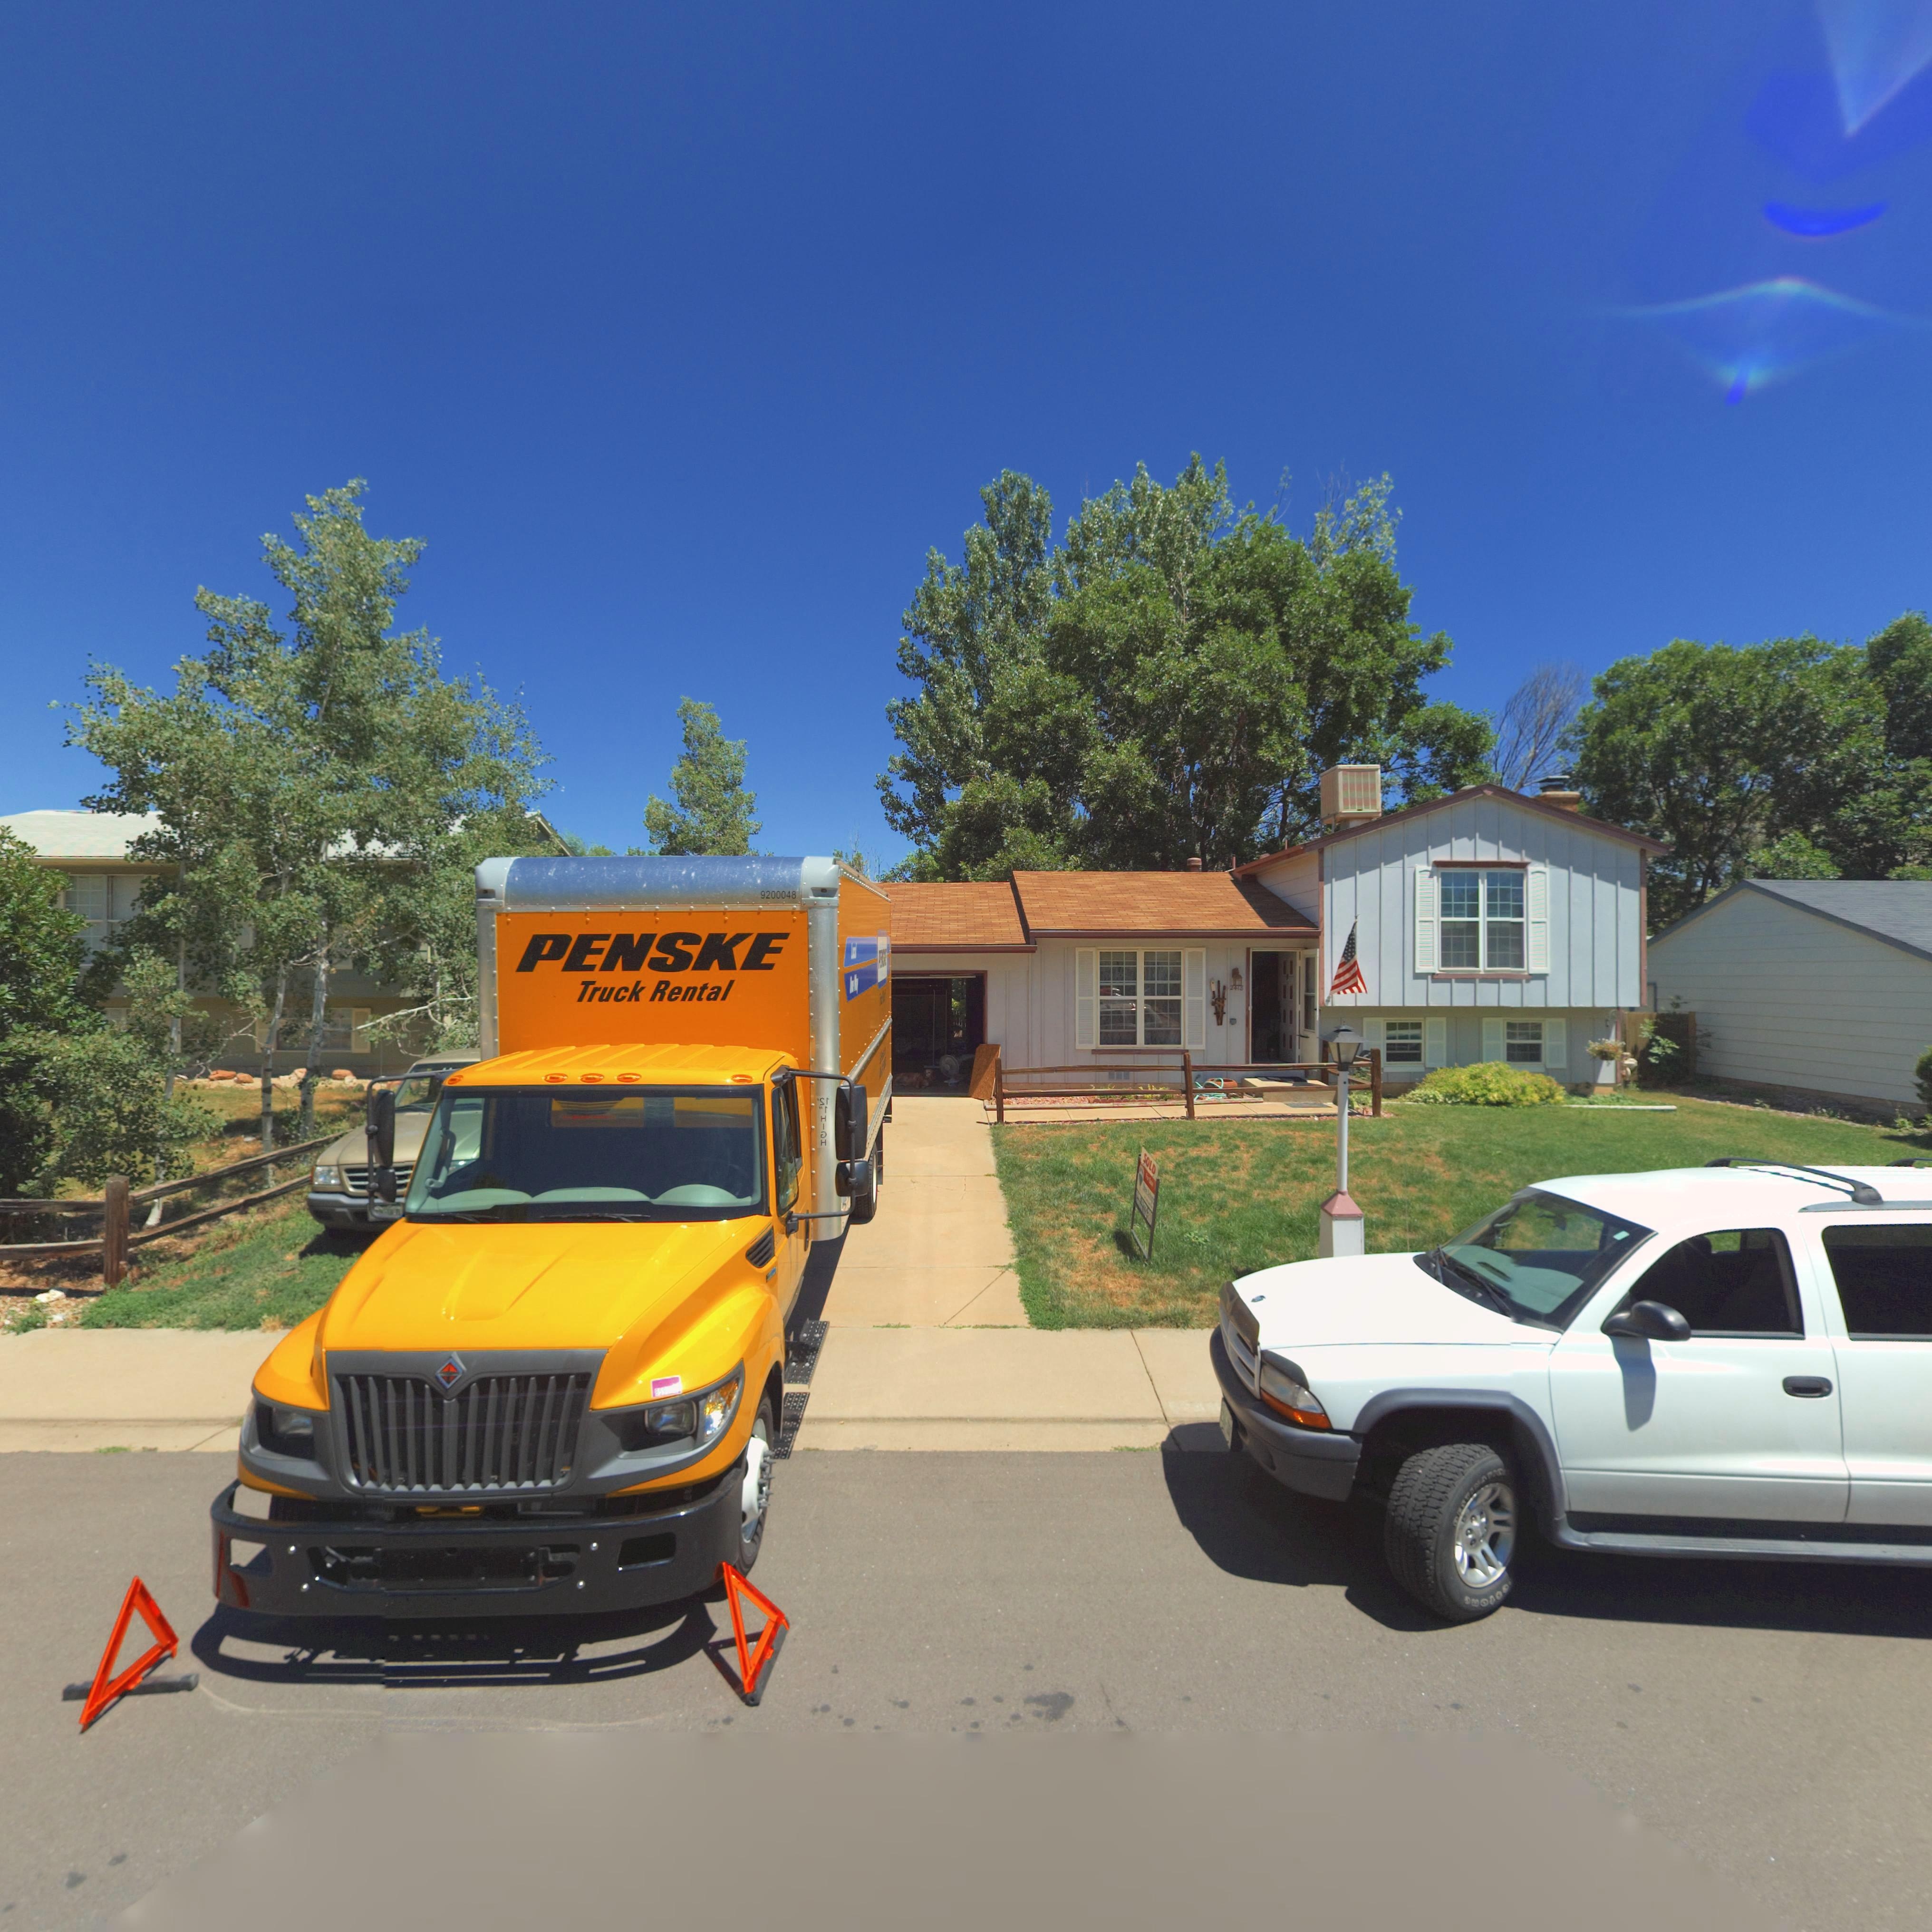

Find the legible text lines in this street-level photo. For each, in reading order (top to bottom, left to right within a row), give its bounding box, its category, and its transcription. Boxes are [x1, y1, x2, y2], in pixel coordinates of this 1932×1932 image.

[1230, 985, 1244, 991] StreetNumber: 2418